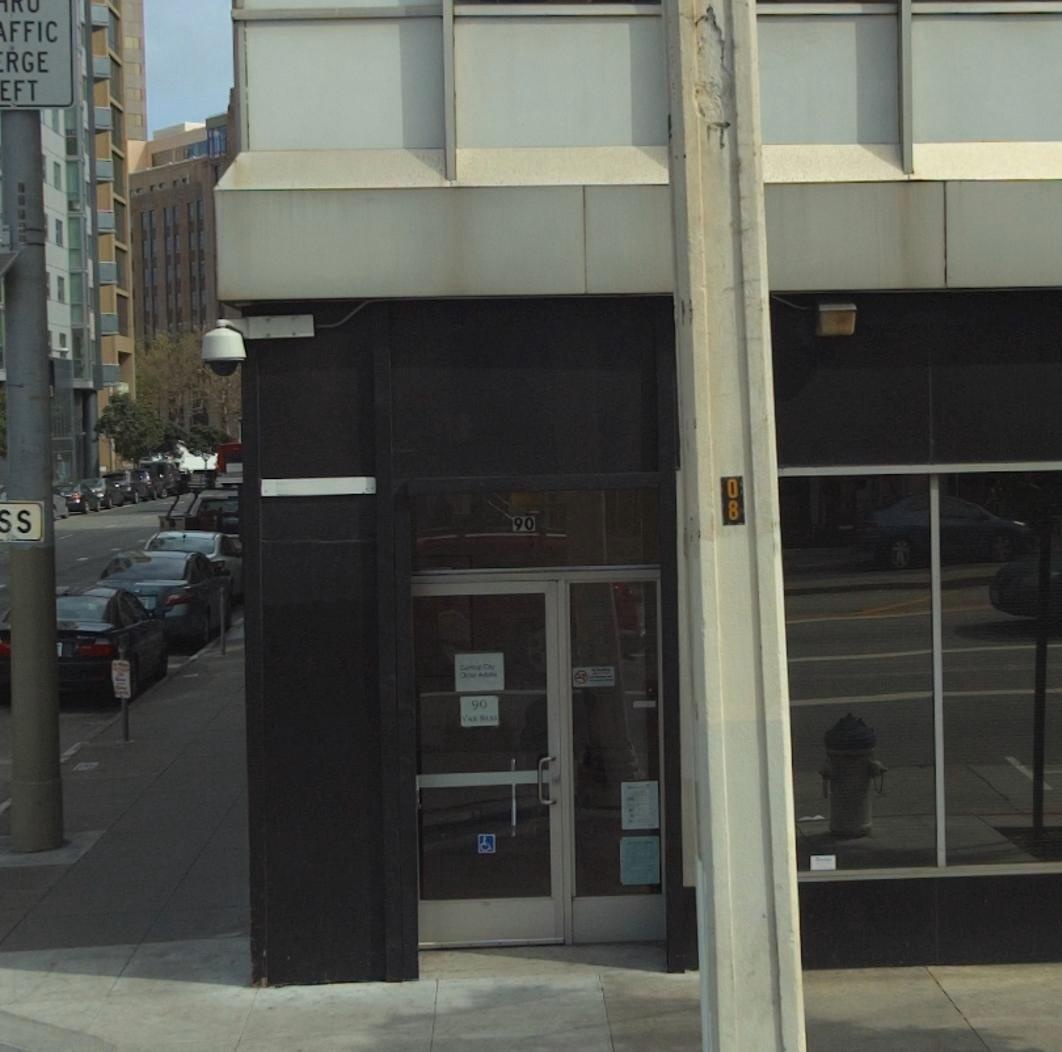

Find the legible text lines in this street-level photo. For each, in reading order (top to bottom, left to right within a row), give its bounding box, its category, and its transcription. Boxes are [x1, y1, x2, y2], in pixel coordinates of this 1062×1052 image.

[9, 20, 59, 44] None: FFIC
[5, 51, 50, 73] None: RGE
[1, 80, 40, 102] None: EFT
[727, 478, 740, 522] None: 08
[0, 508, 33, 535] None: SS
[513, 515, 536, 532] StreetNumber: 90
[472, 698, 488, 710] StreetNumber: 90
[461, 713, 498, 724] StreetName: CAN NESS